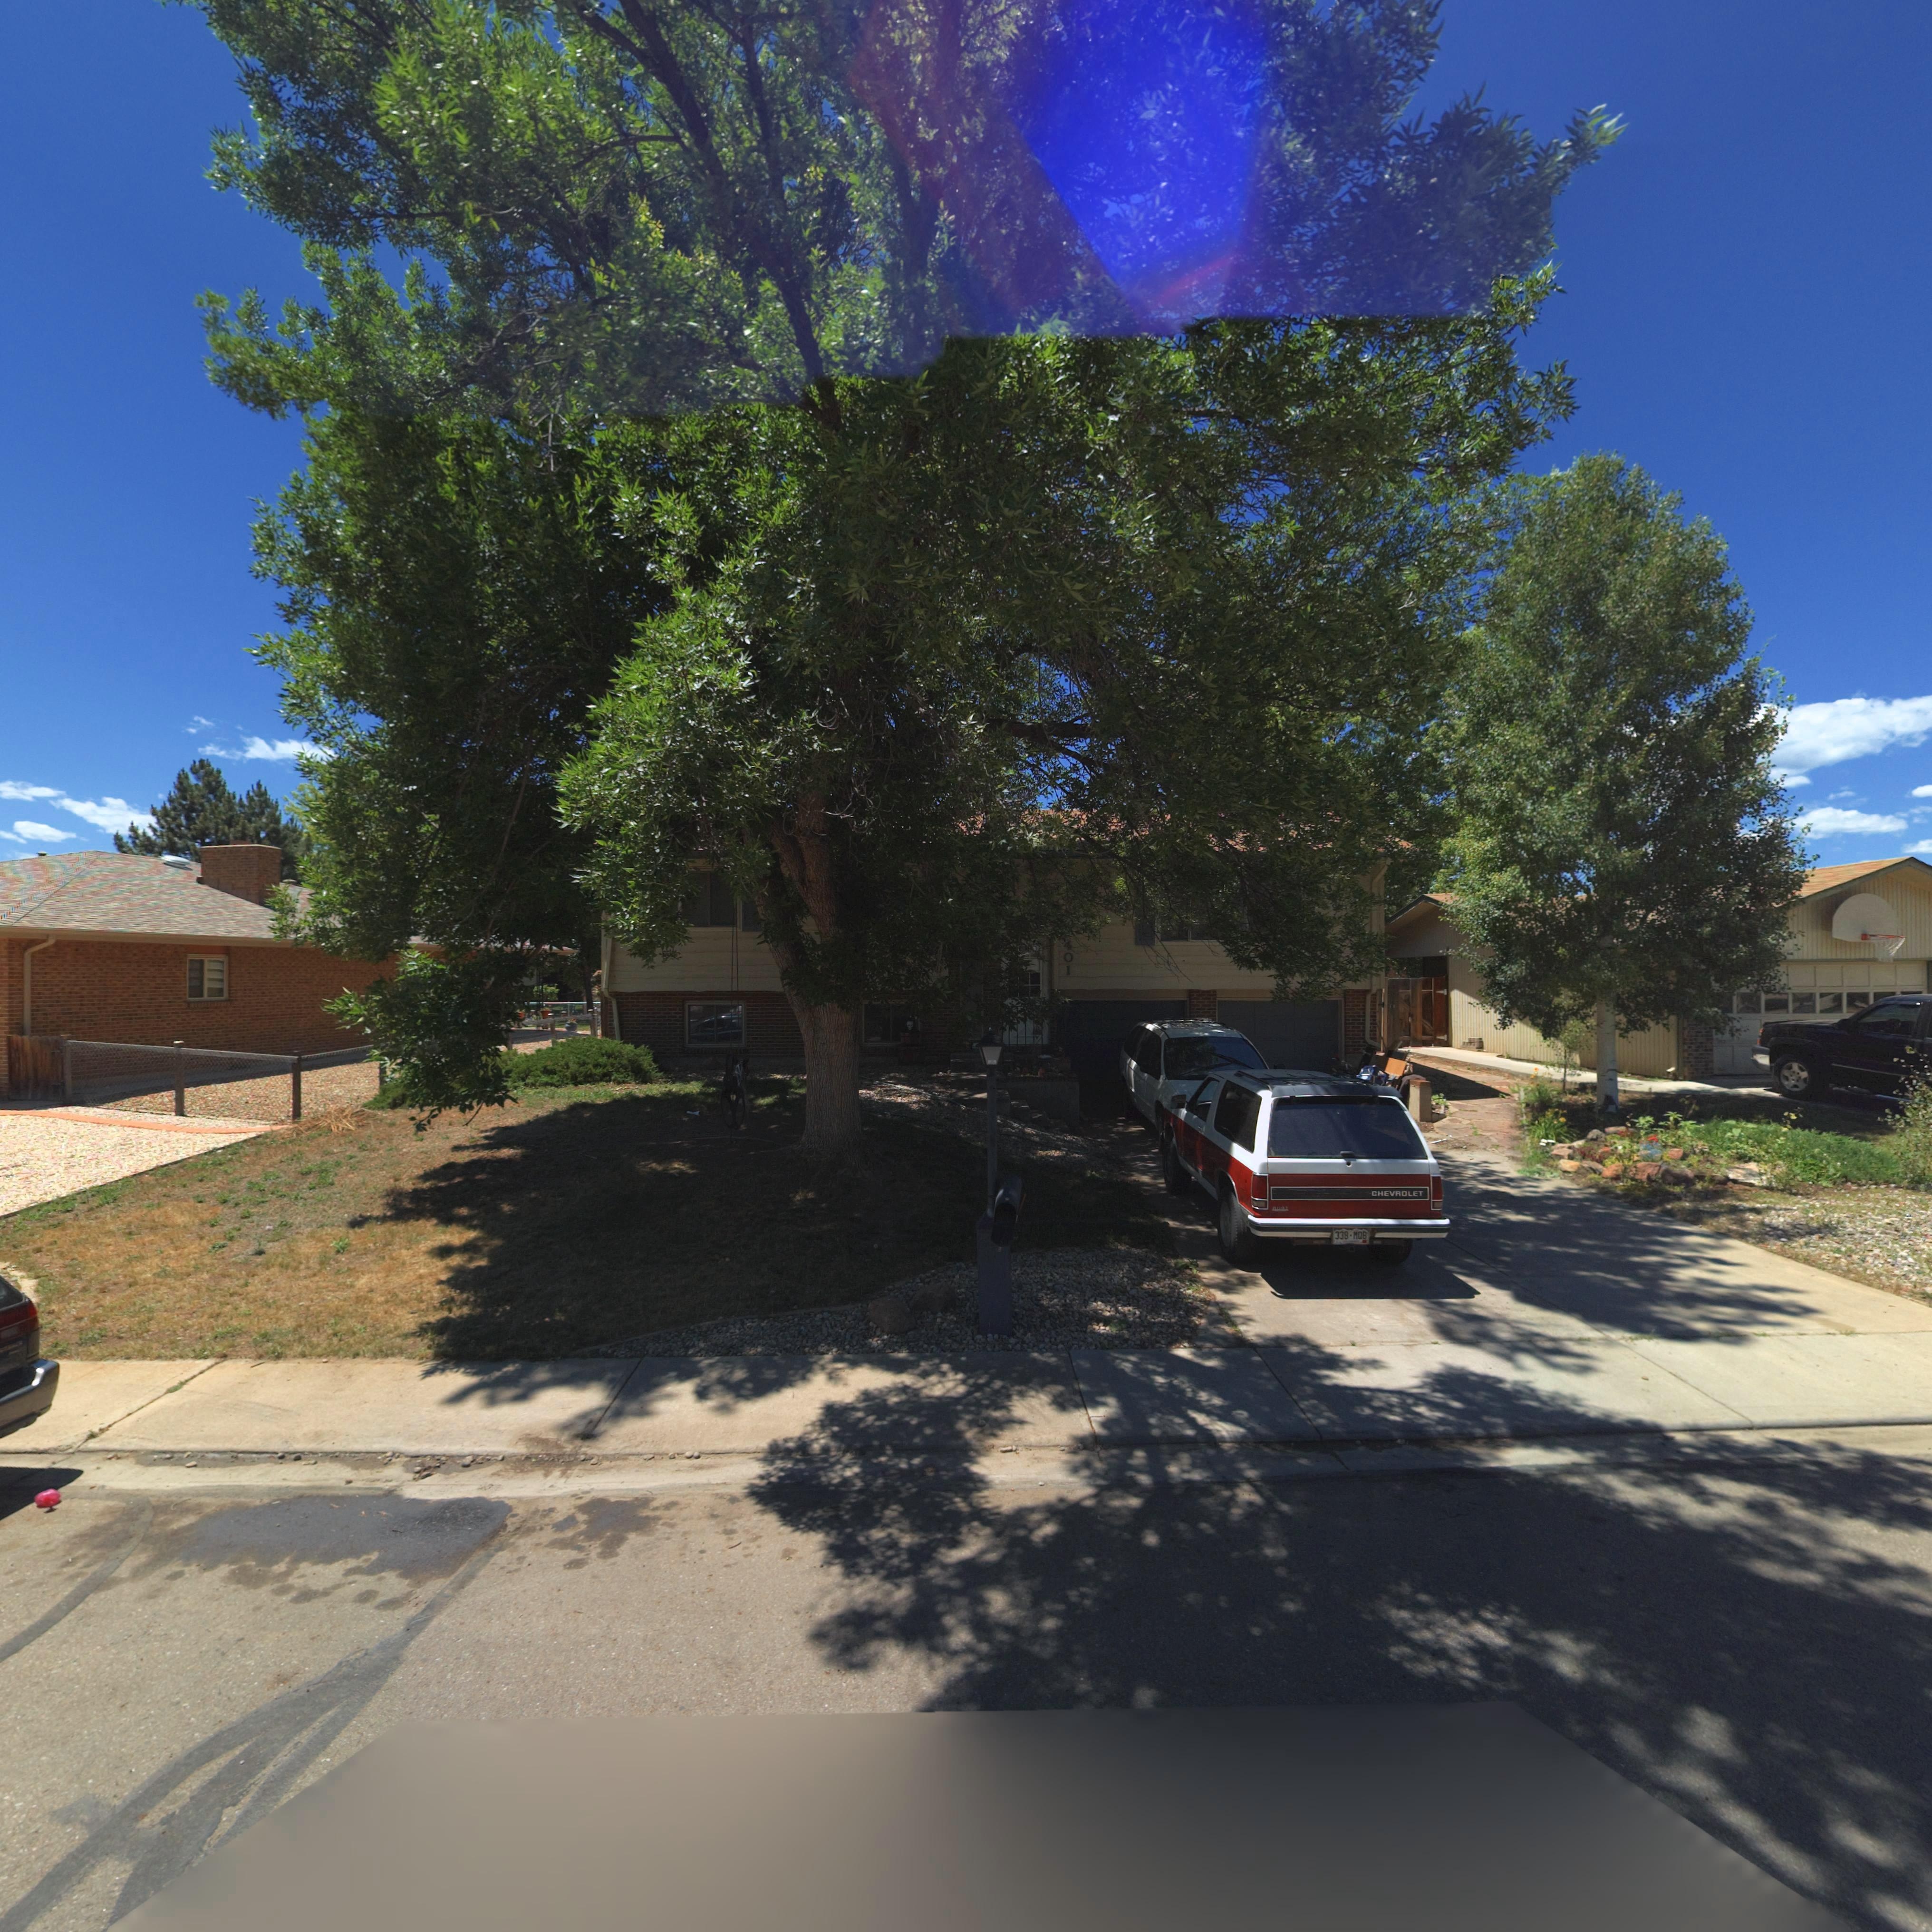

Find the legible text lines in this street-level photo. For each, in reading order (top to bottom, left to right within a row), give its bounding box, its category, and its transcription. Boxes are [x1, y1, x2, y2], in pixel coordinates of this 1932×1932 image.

[1062, 939, 1074, 976] StreetNumber: 401